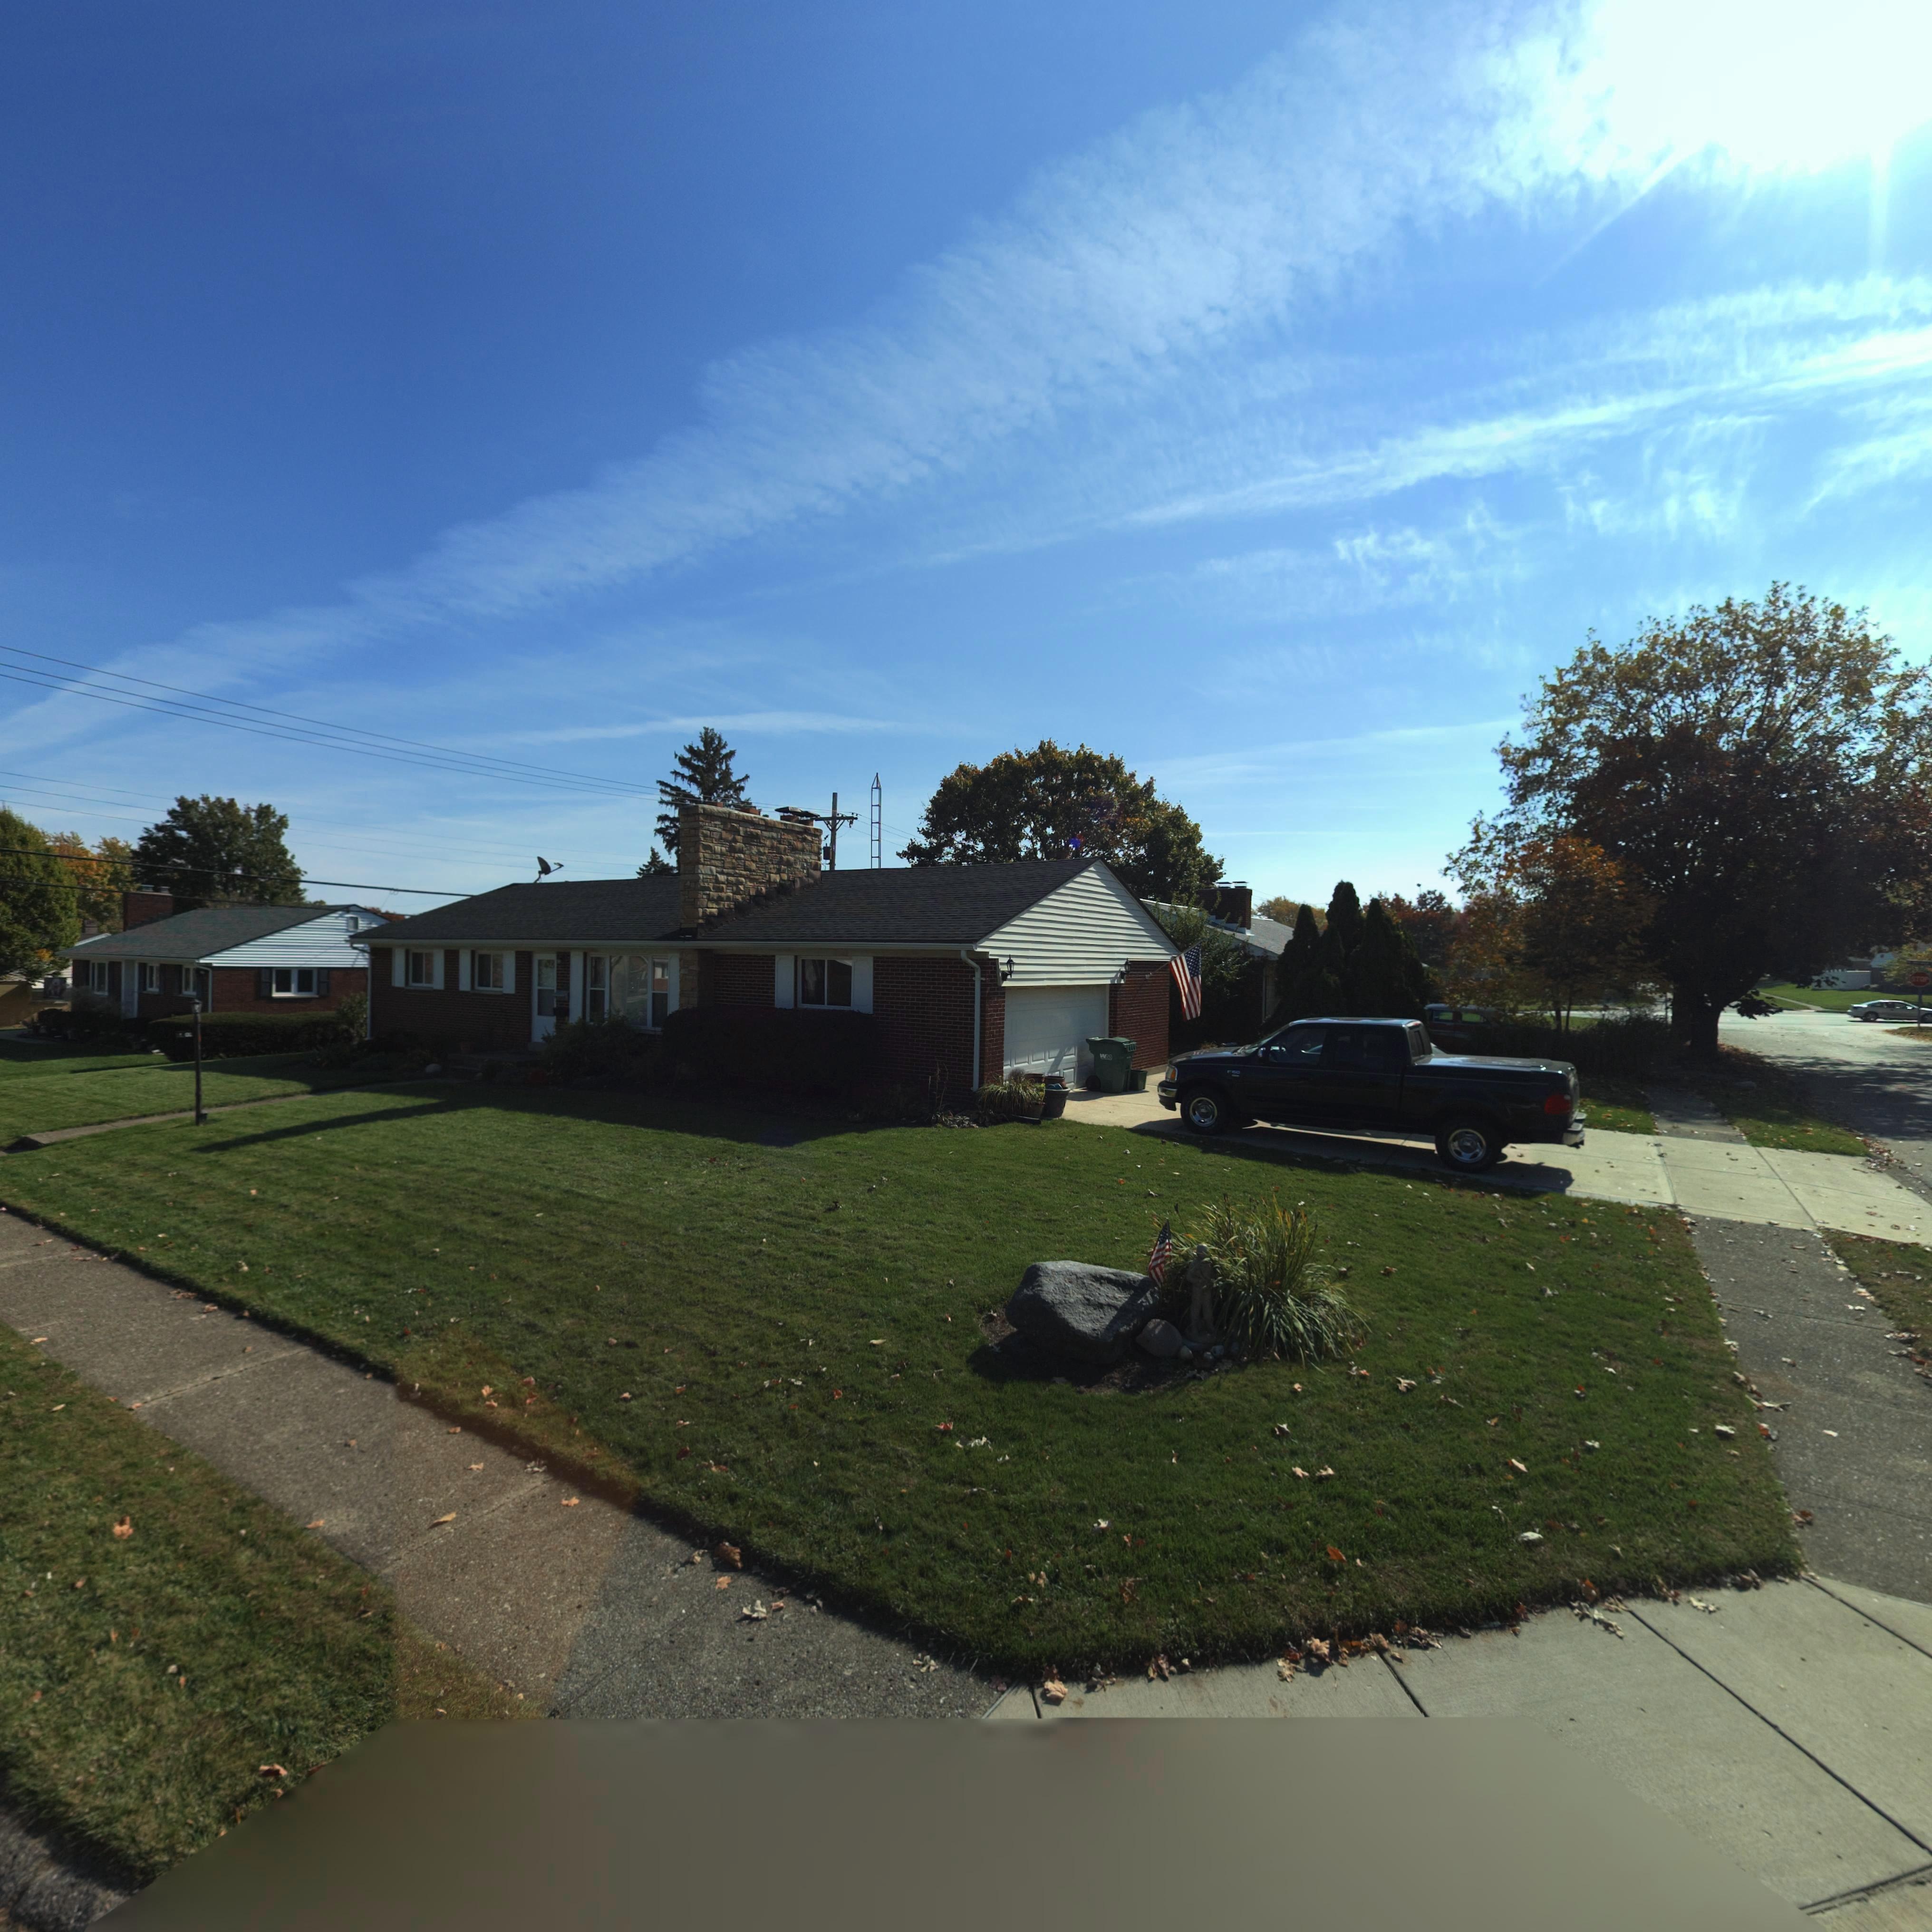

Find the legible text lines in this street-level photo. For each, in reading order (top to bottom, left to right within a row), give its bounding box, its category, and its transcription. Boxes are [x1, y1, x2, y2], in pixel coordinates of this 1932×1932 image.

[1099, 1052, 1109, 1059] None: W